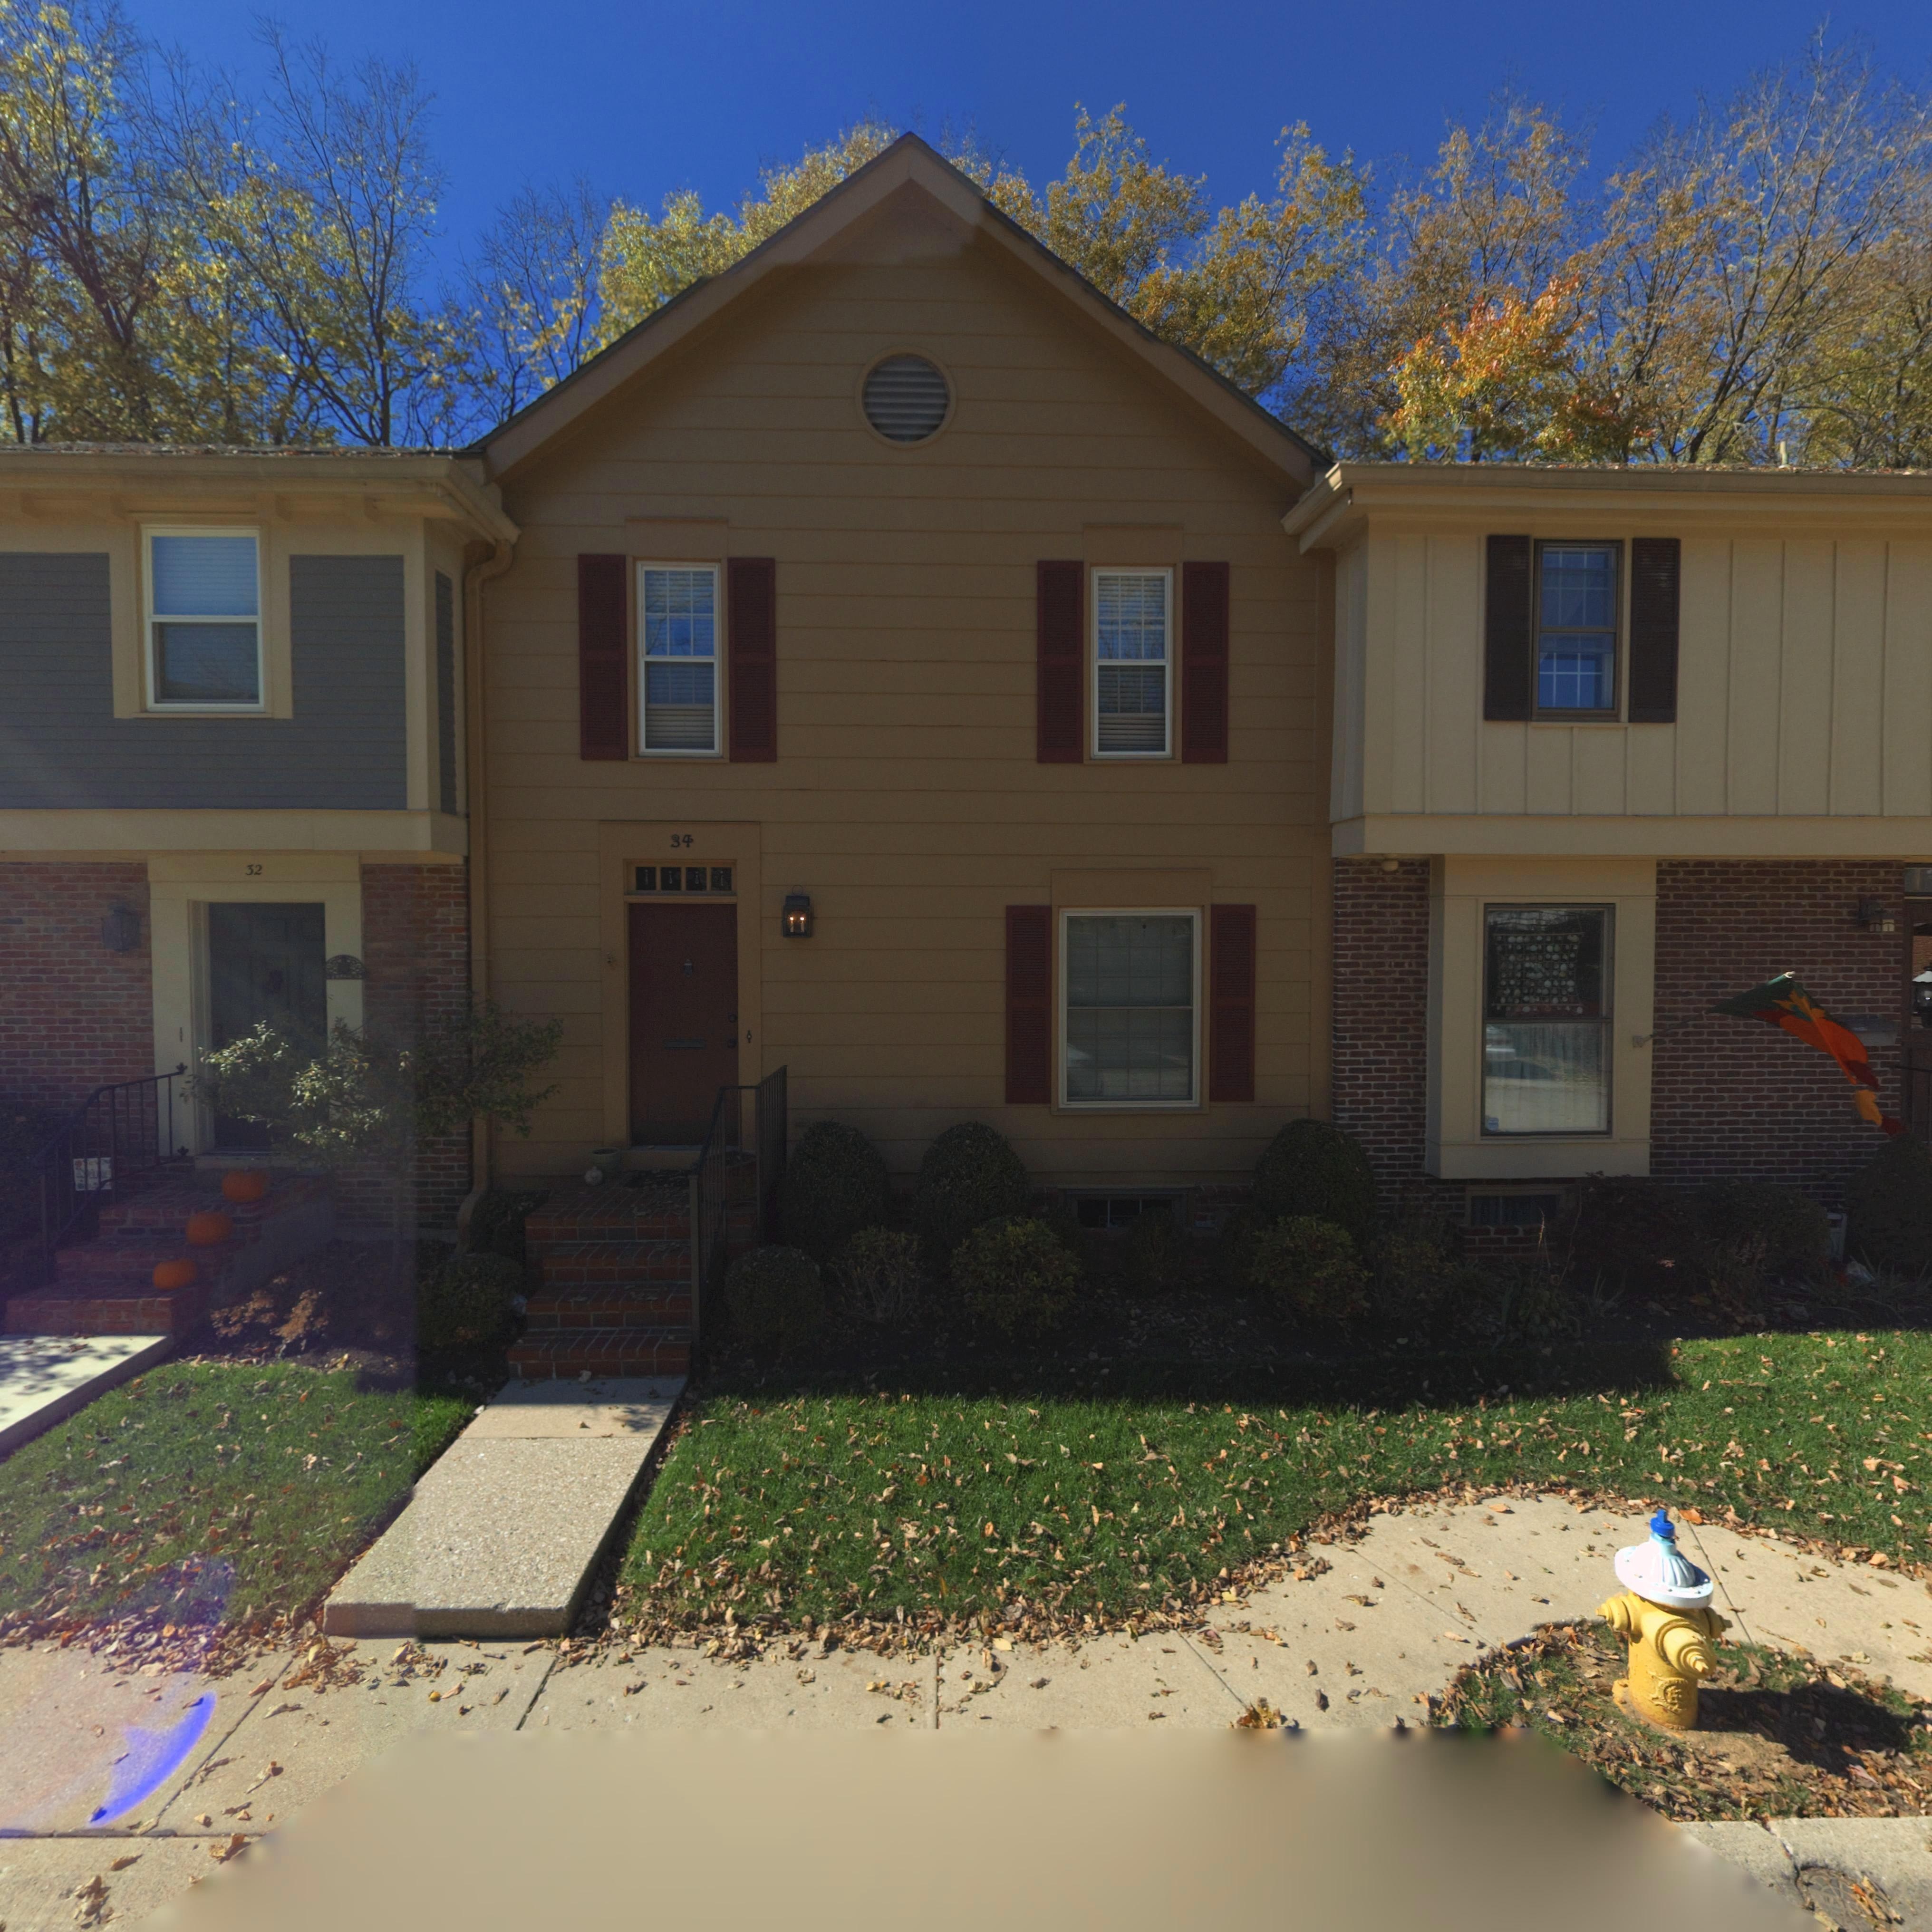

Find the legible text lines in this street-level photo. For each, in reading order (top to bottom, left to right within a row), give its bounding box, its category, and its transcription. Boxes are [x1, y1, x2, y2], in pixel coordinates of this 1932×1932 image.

[670, 834, 694, 848] StreetNumber: 34
[245, 863, 263, 876] StreetNumber: 32